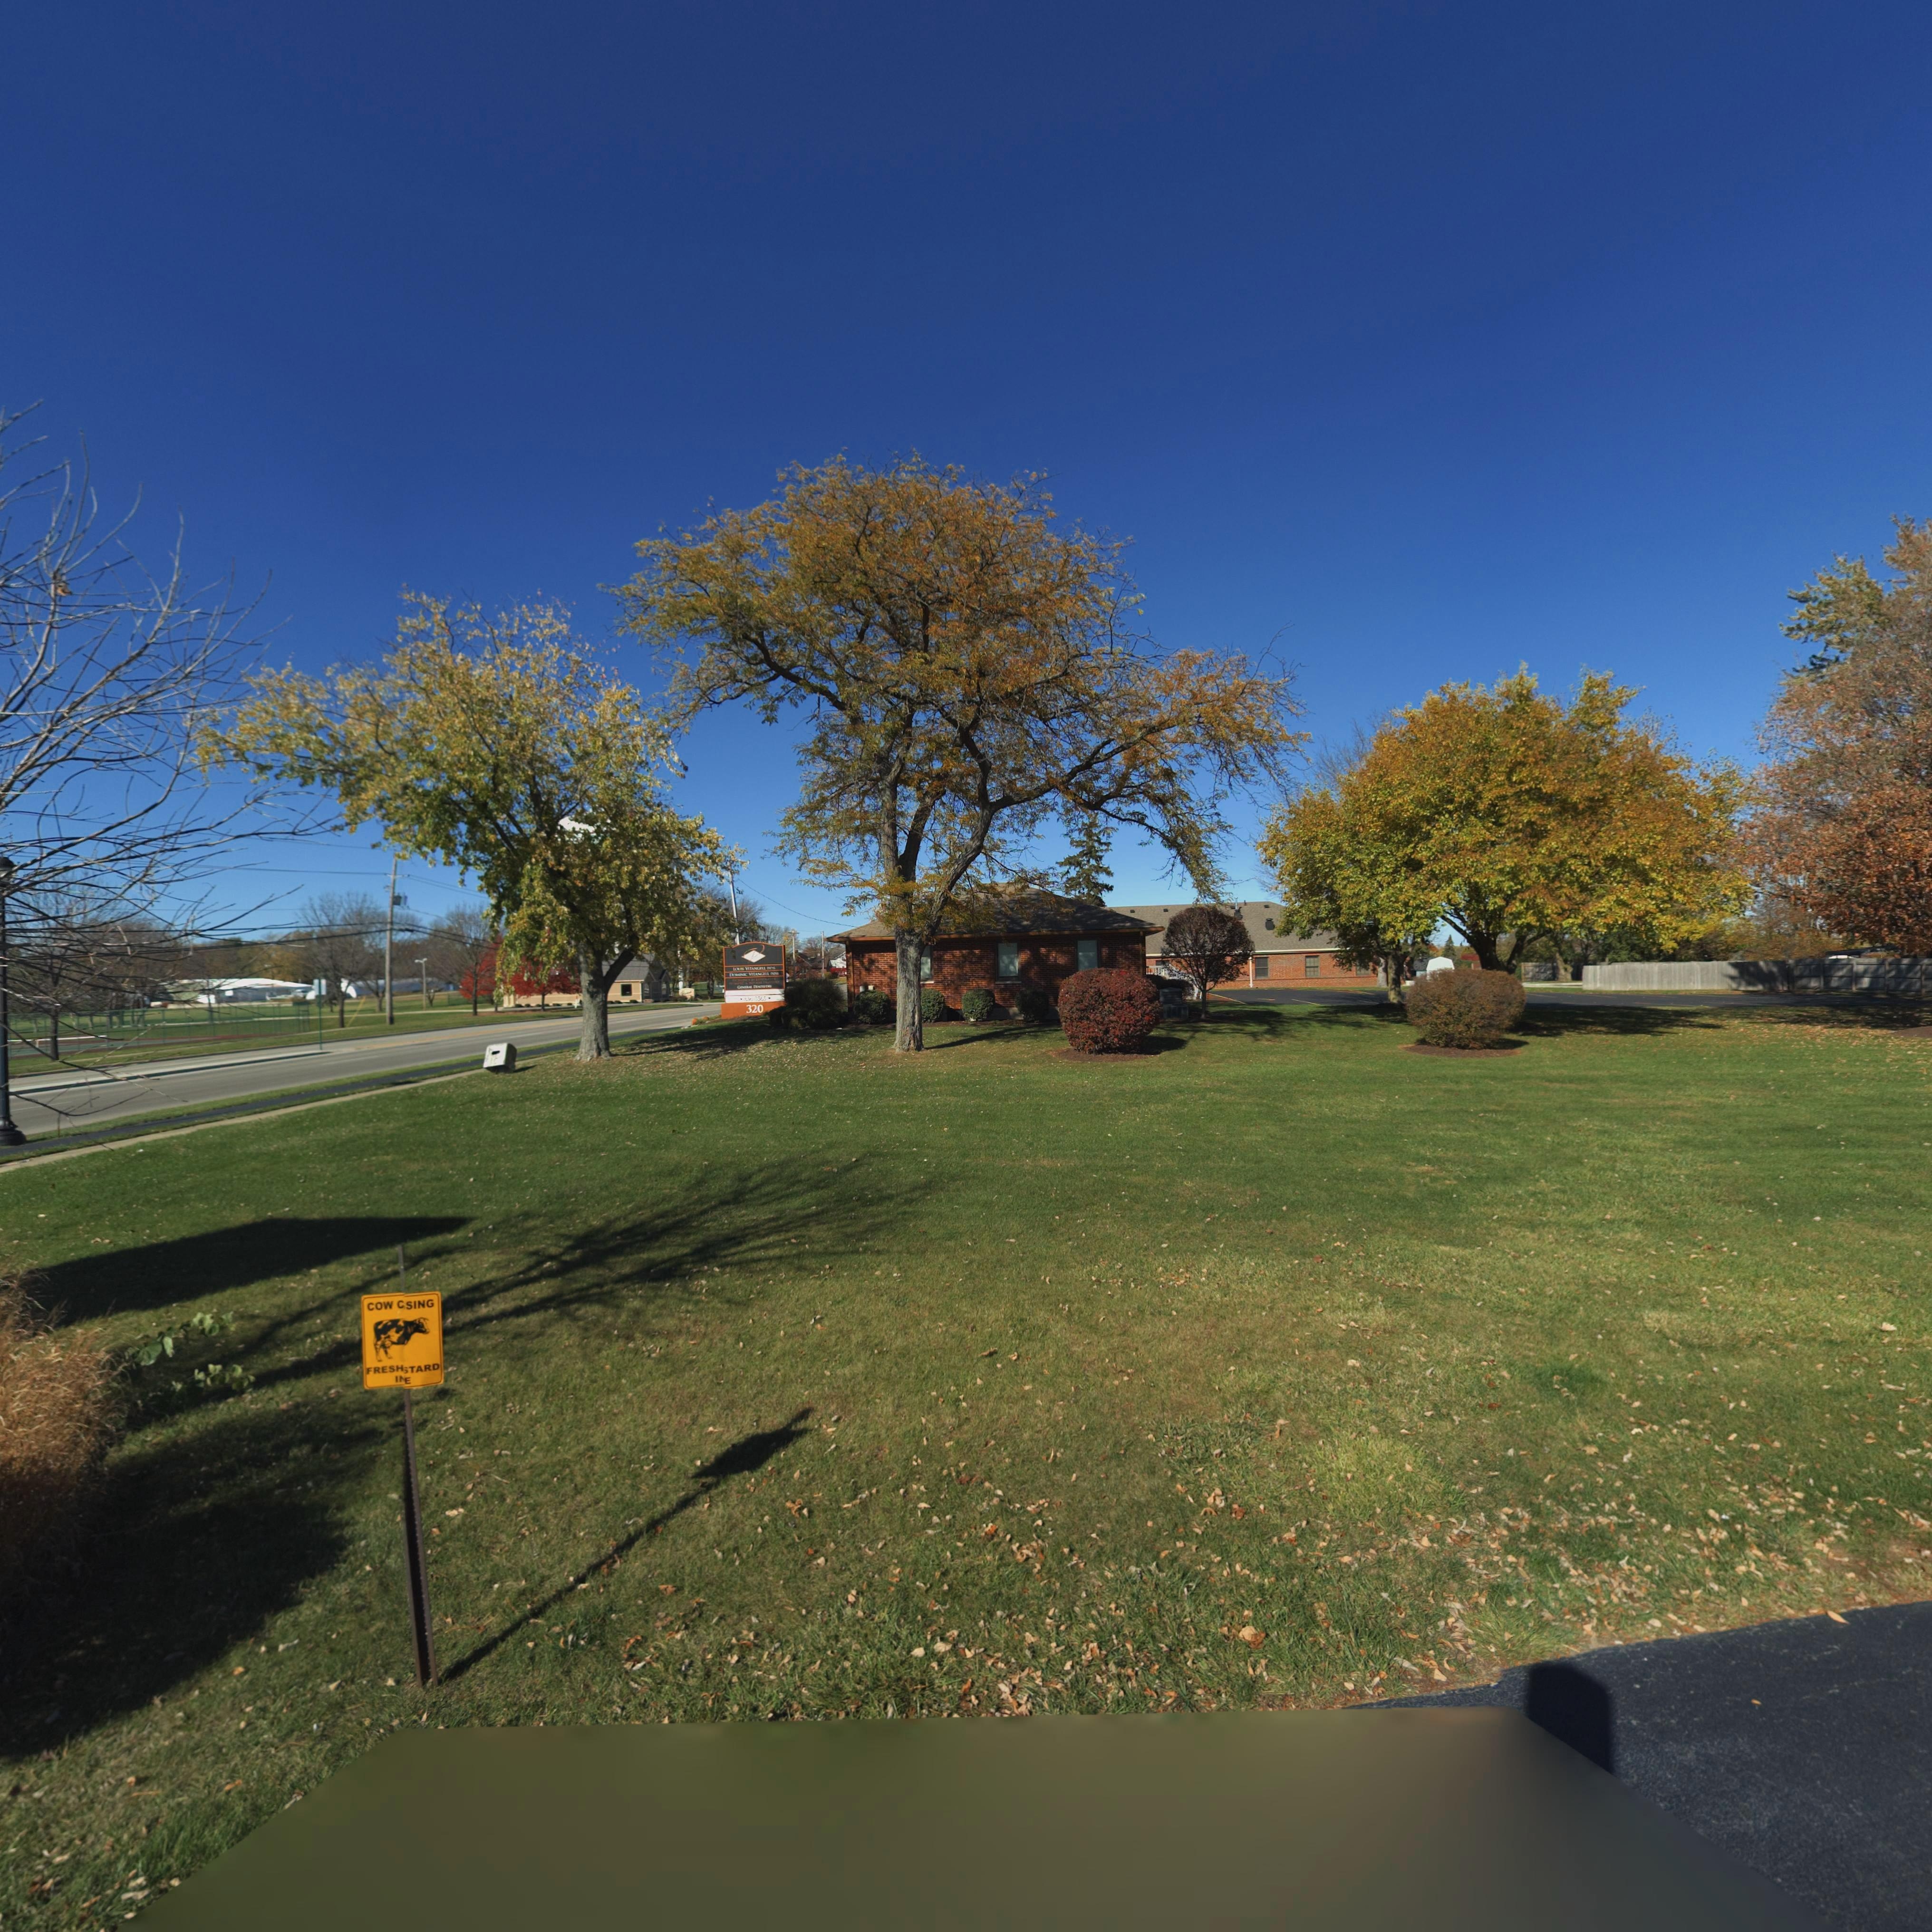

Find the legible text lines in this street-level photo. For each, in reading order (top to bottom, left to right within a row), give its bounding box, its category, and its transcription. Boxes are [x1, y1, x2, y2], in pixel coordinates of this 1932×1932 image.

[745, 1004, 765, 1014] StreetNumber: 320
[366, 1298, 435, 1313] None: COW C*SING
[365, 1362, 440, 1376] None: FRESH*TARD
[394, 1374, 412, 1386] None: I*E